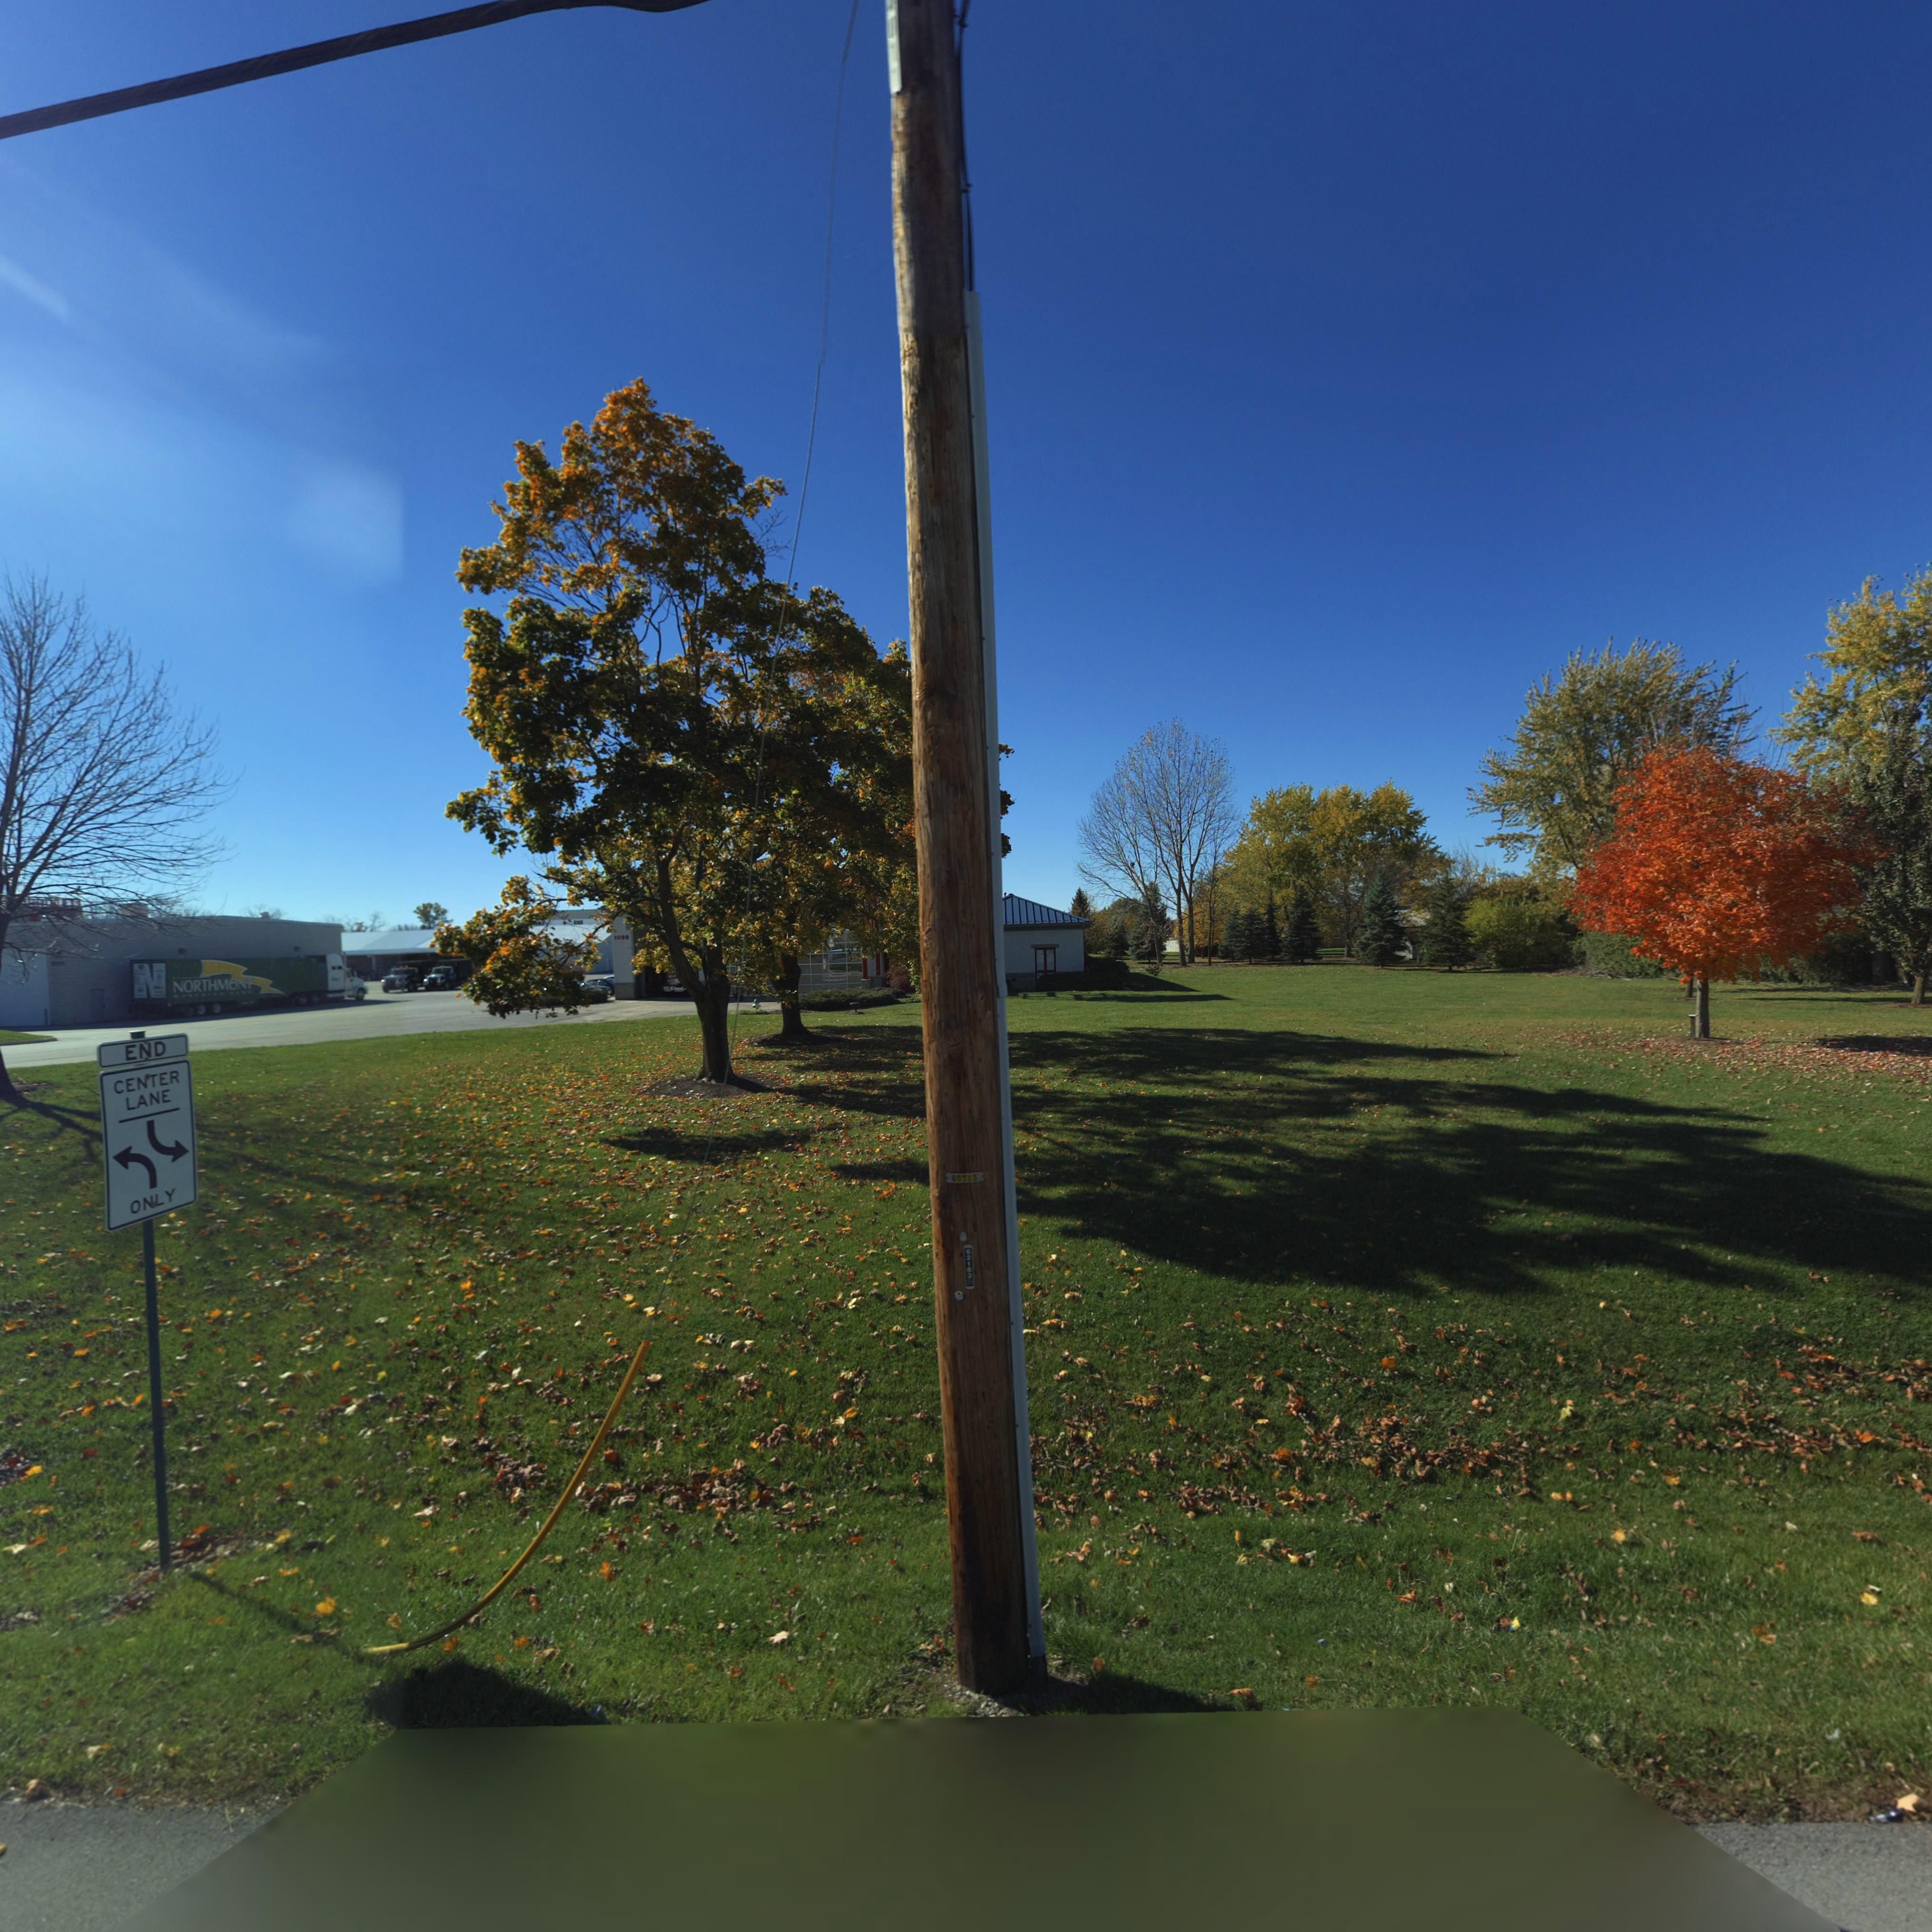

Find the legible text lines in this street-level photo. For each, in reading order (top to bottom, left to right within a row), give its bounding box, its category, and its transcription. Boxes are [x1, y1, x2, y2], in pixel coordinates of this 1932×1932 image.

[613, 934, 630, 941] StreetNumber: 10**